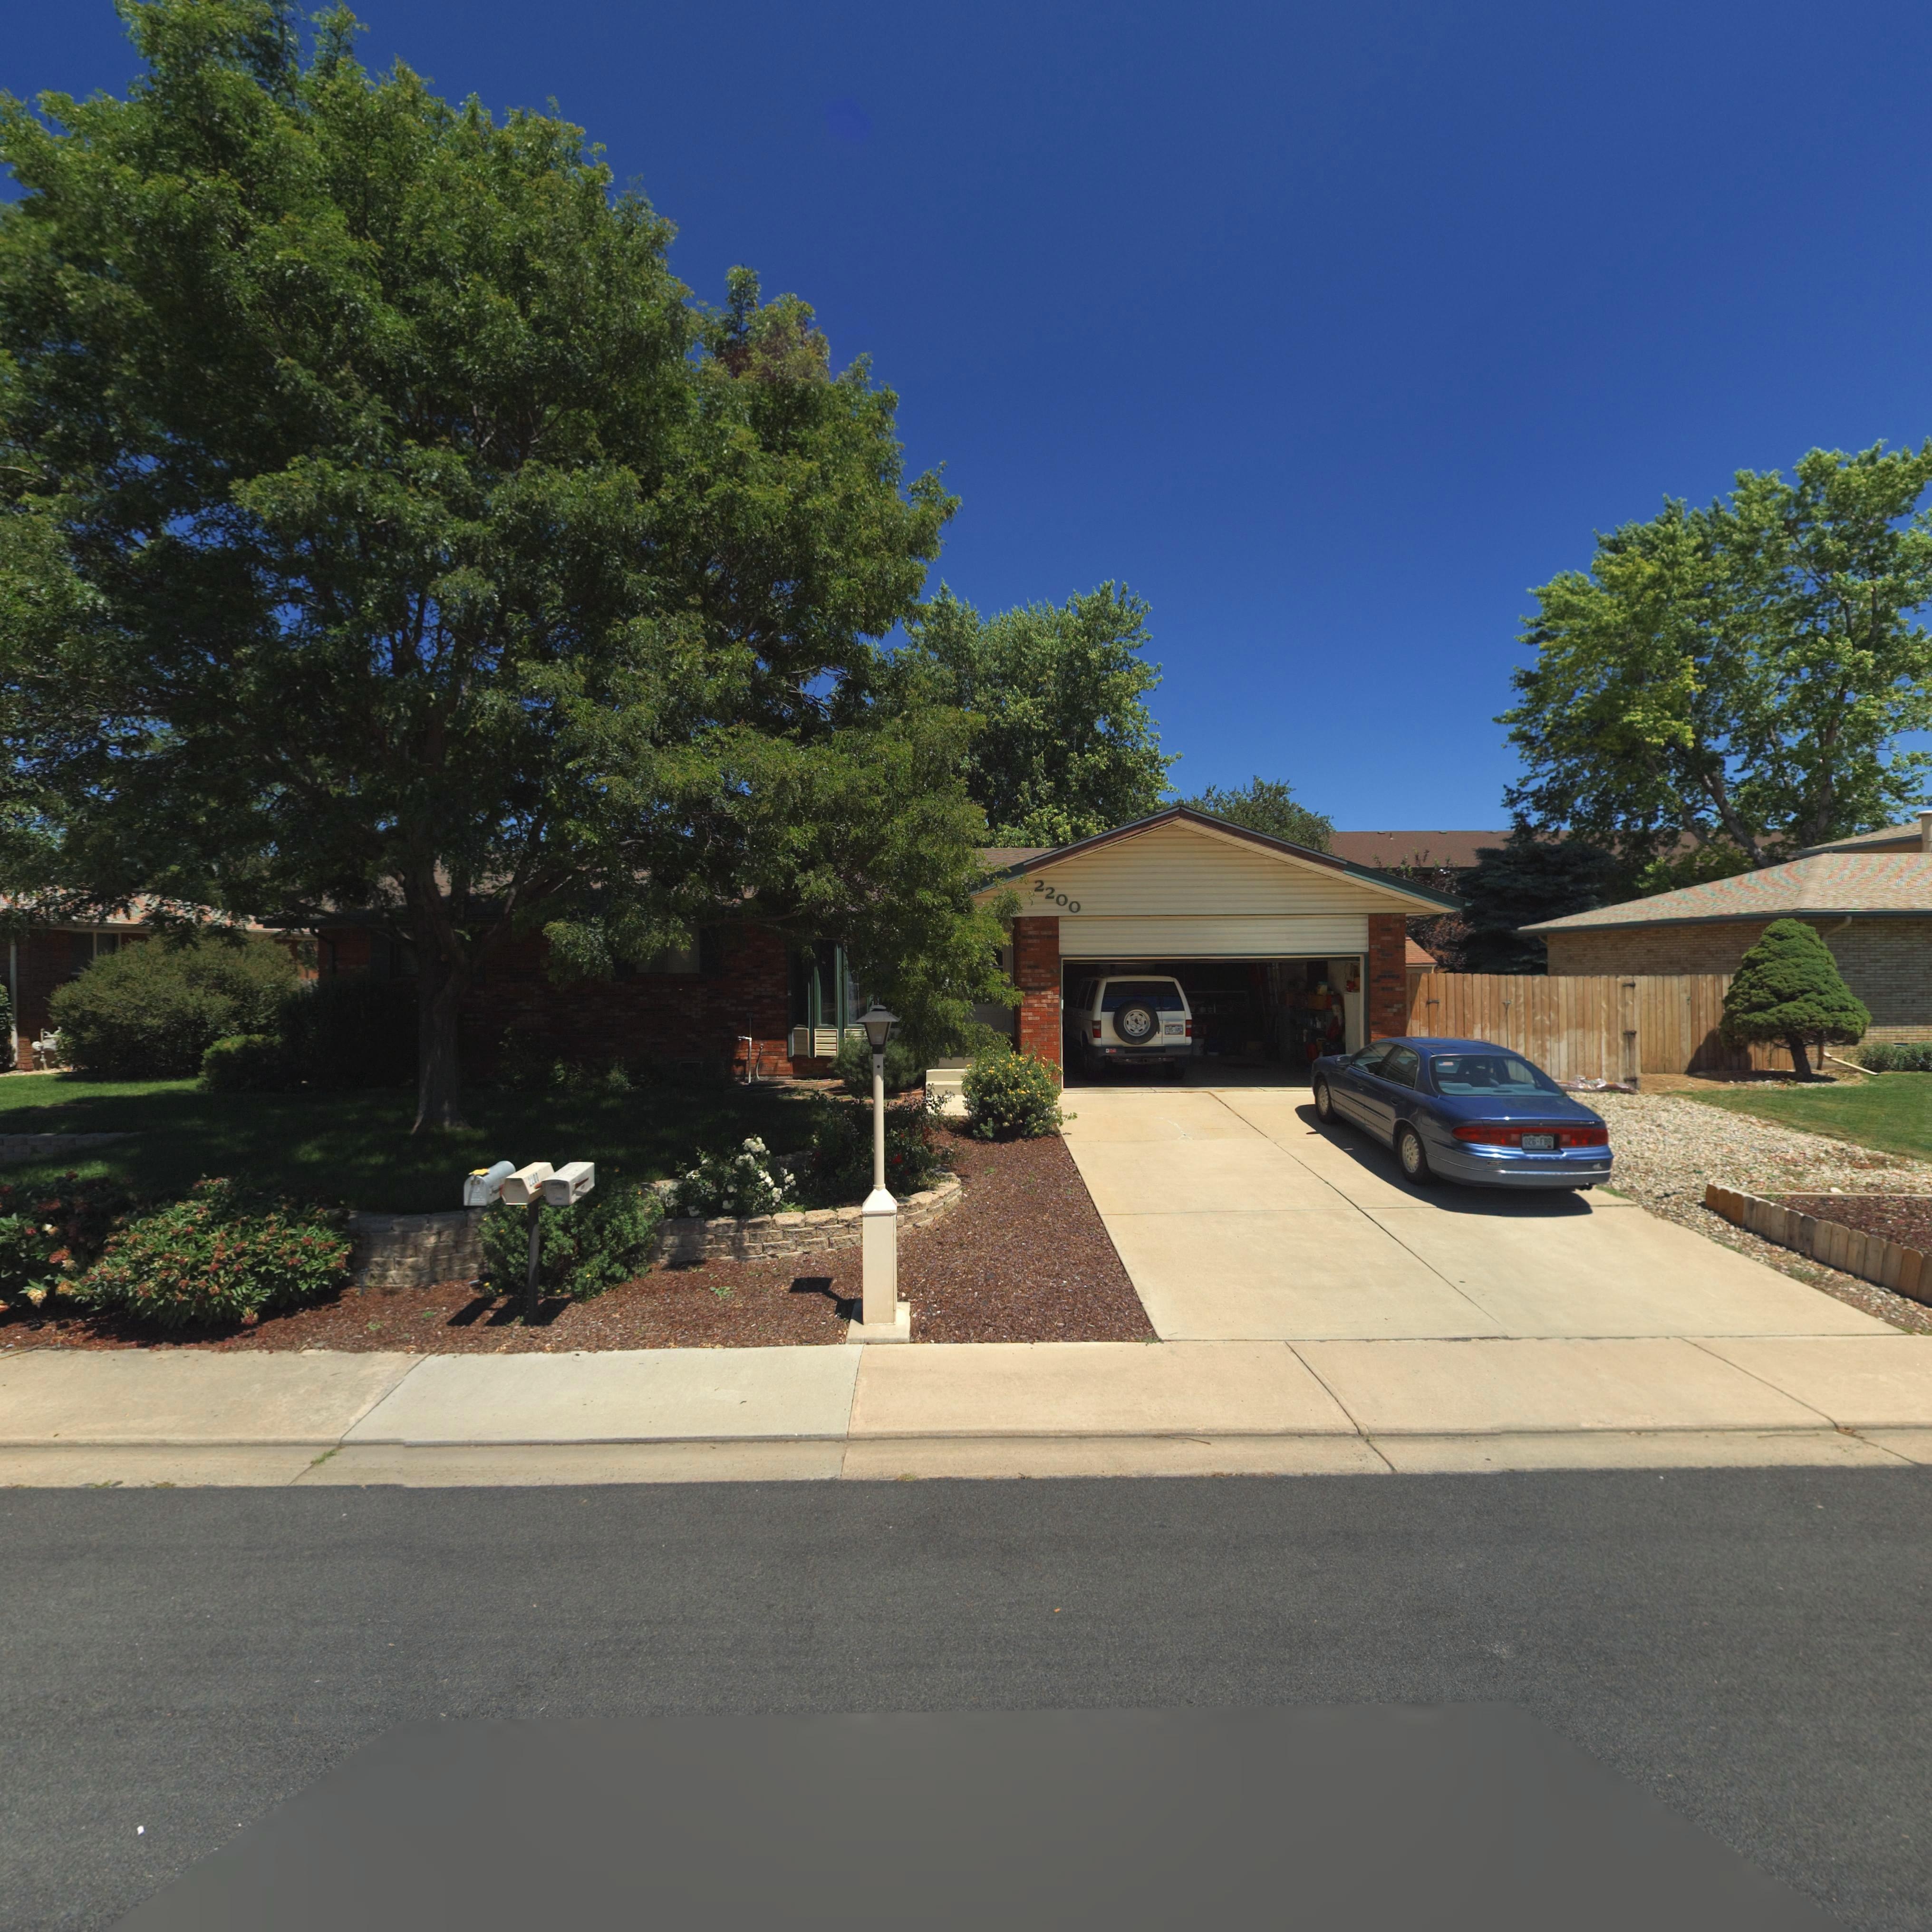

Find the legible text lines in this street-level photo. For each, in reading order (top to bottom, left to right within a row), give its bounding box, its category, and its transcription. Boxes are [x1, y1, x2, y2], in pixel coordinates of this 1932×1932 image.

[1033, 877, 1083, 916] StreetNumber: 2200
[470, 1179, 480, 1185] StreetNumber: 2*
[527, 1171, 540, 1188] StreetNumber: 2200